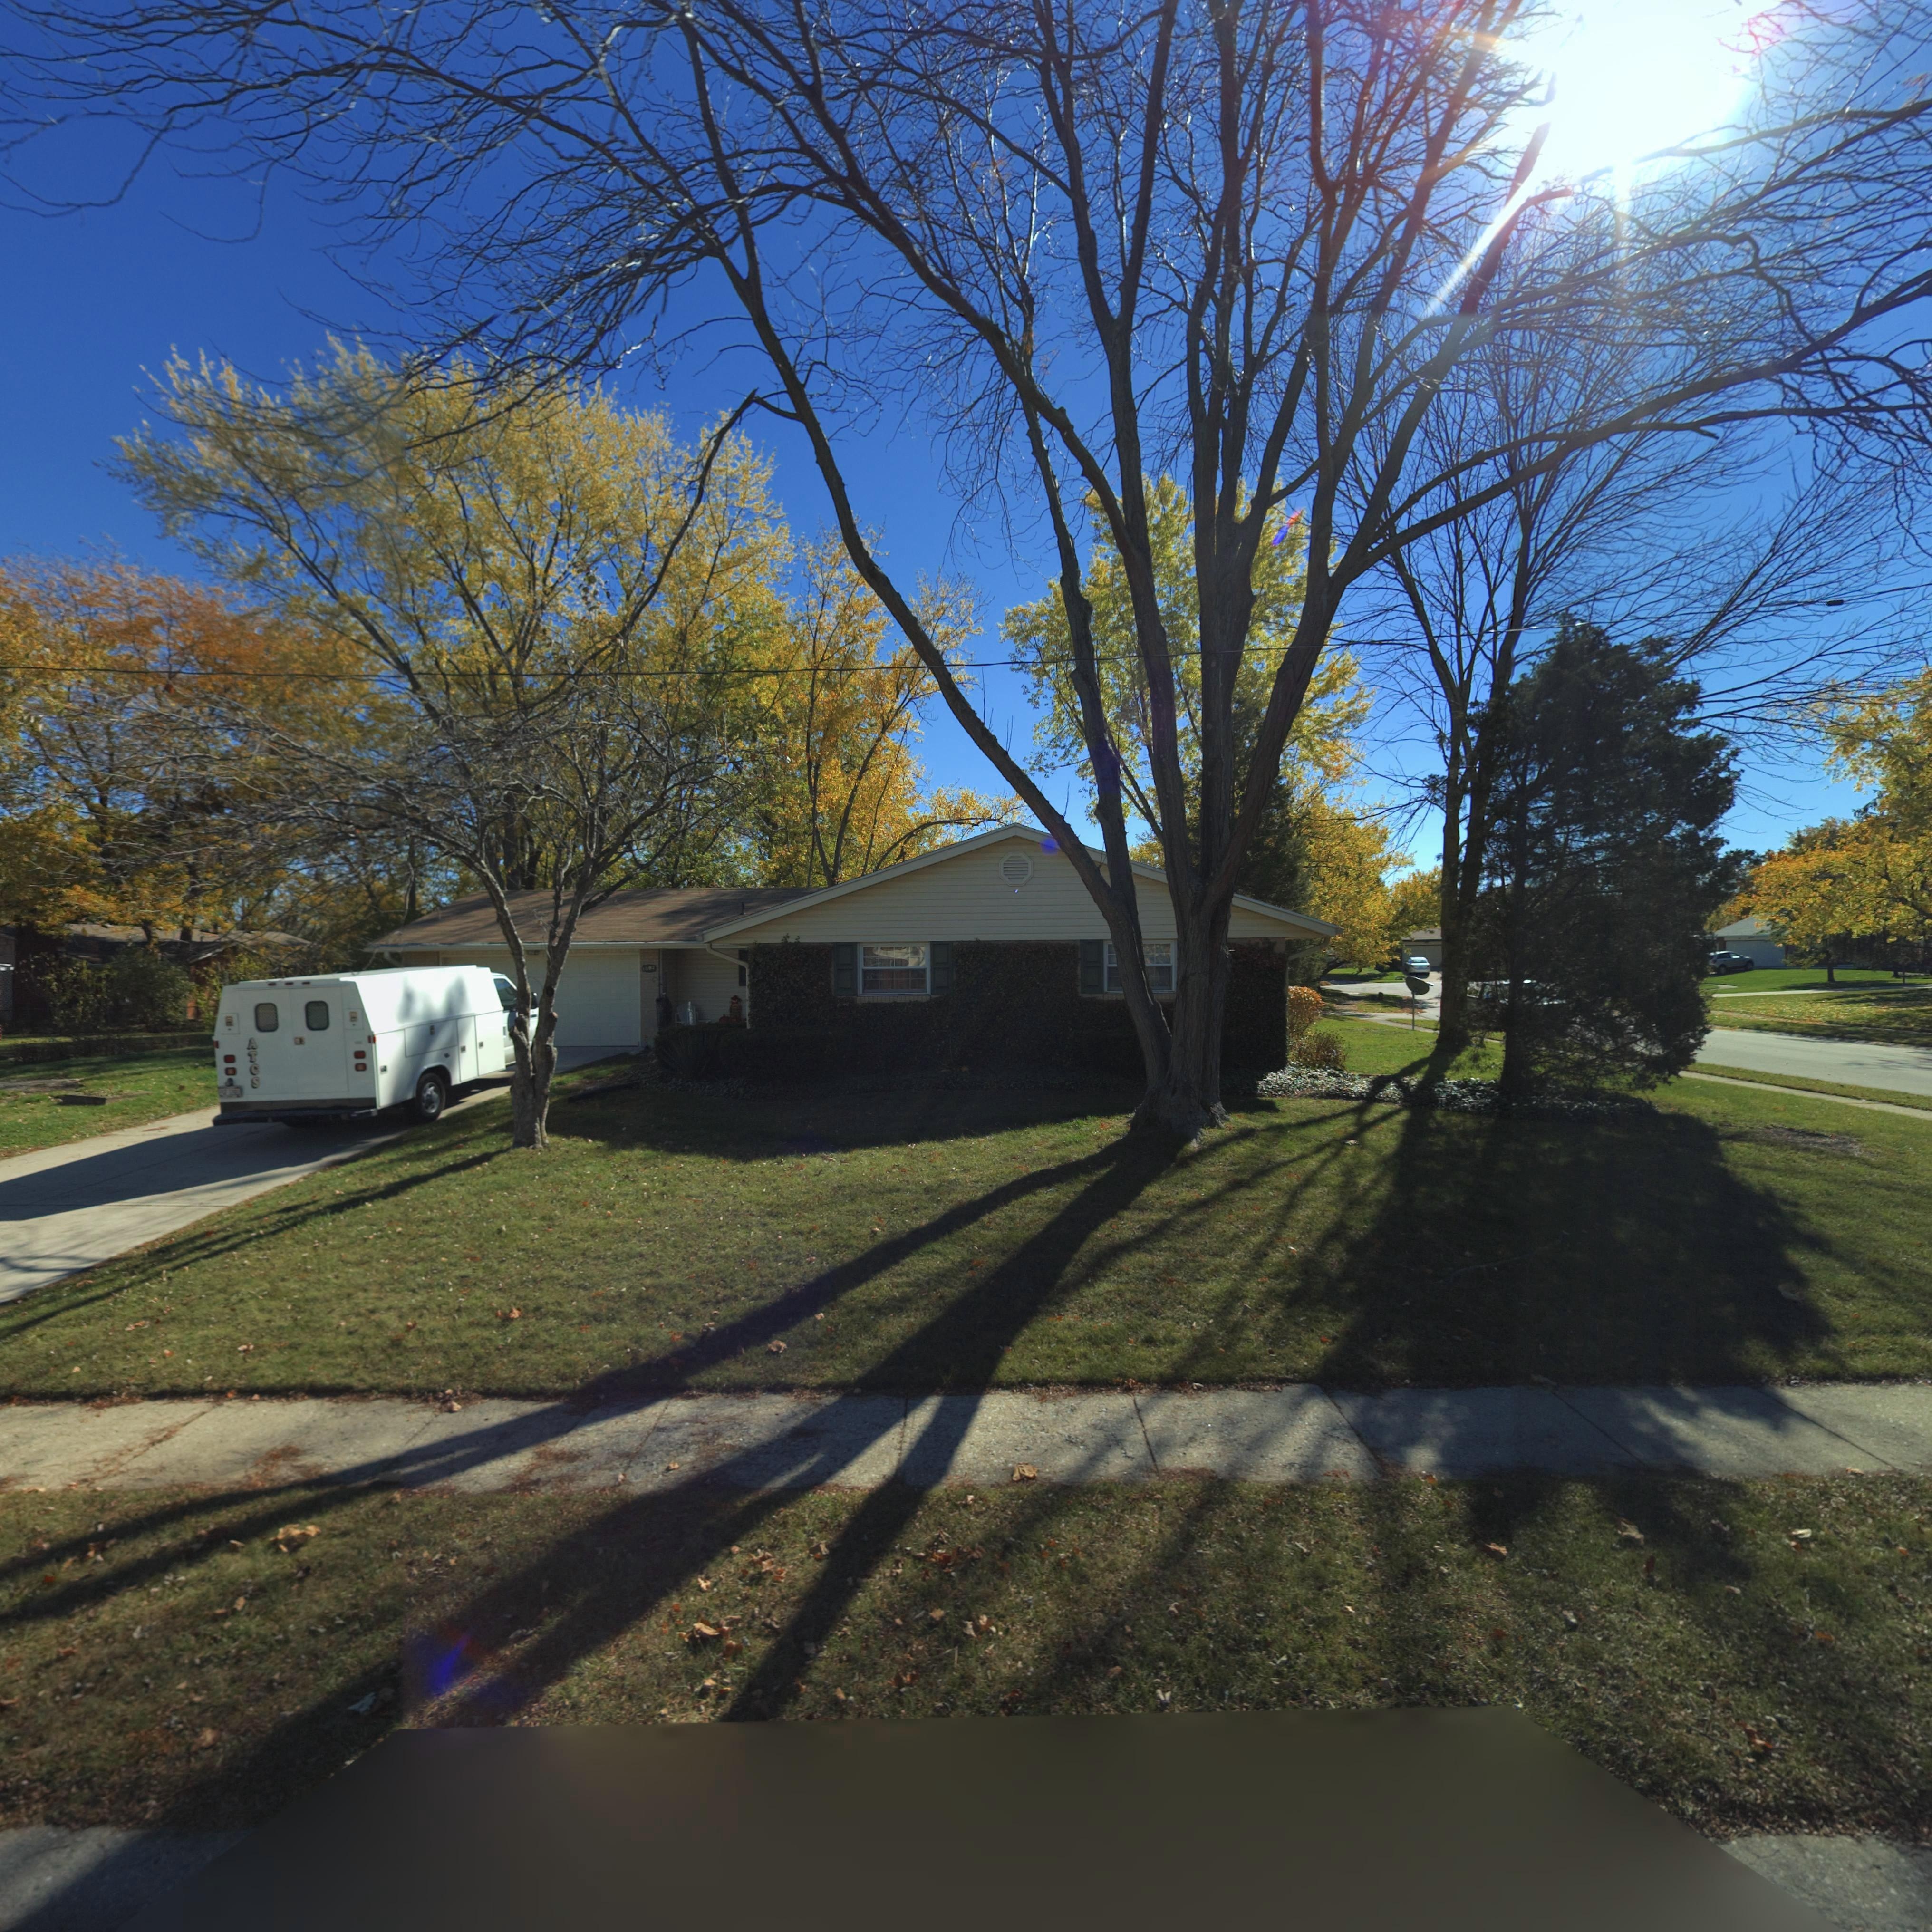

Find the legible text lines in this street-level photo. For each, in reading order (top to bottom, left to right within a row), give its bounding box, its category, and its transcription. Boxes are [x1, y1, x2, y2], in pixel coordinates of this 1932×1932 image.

[642, 965, 655, 971] StreetNumber: 1002